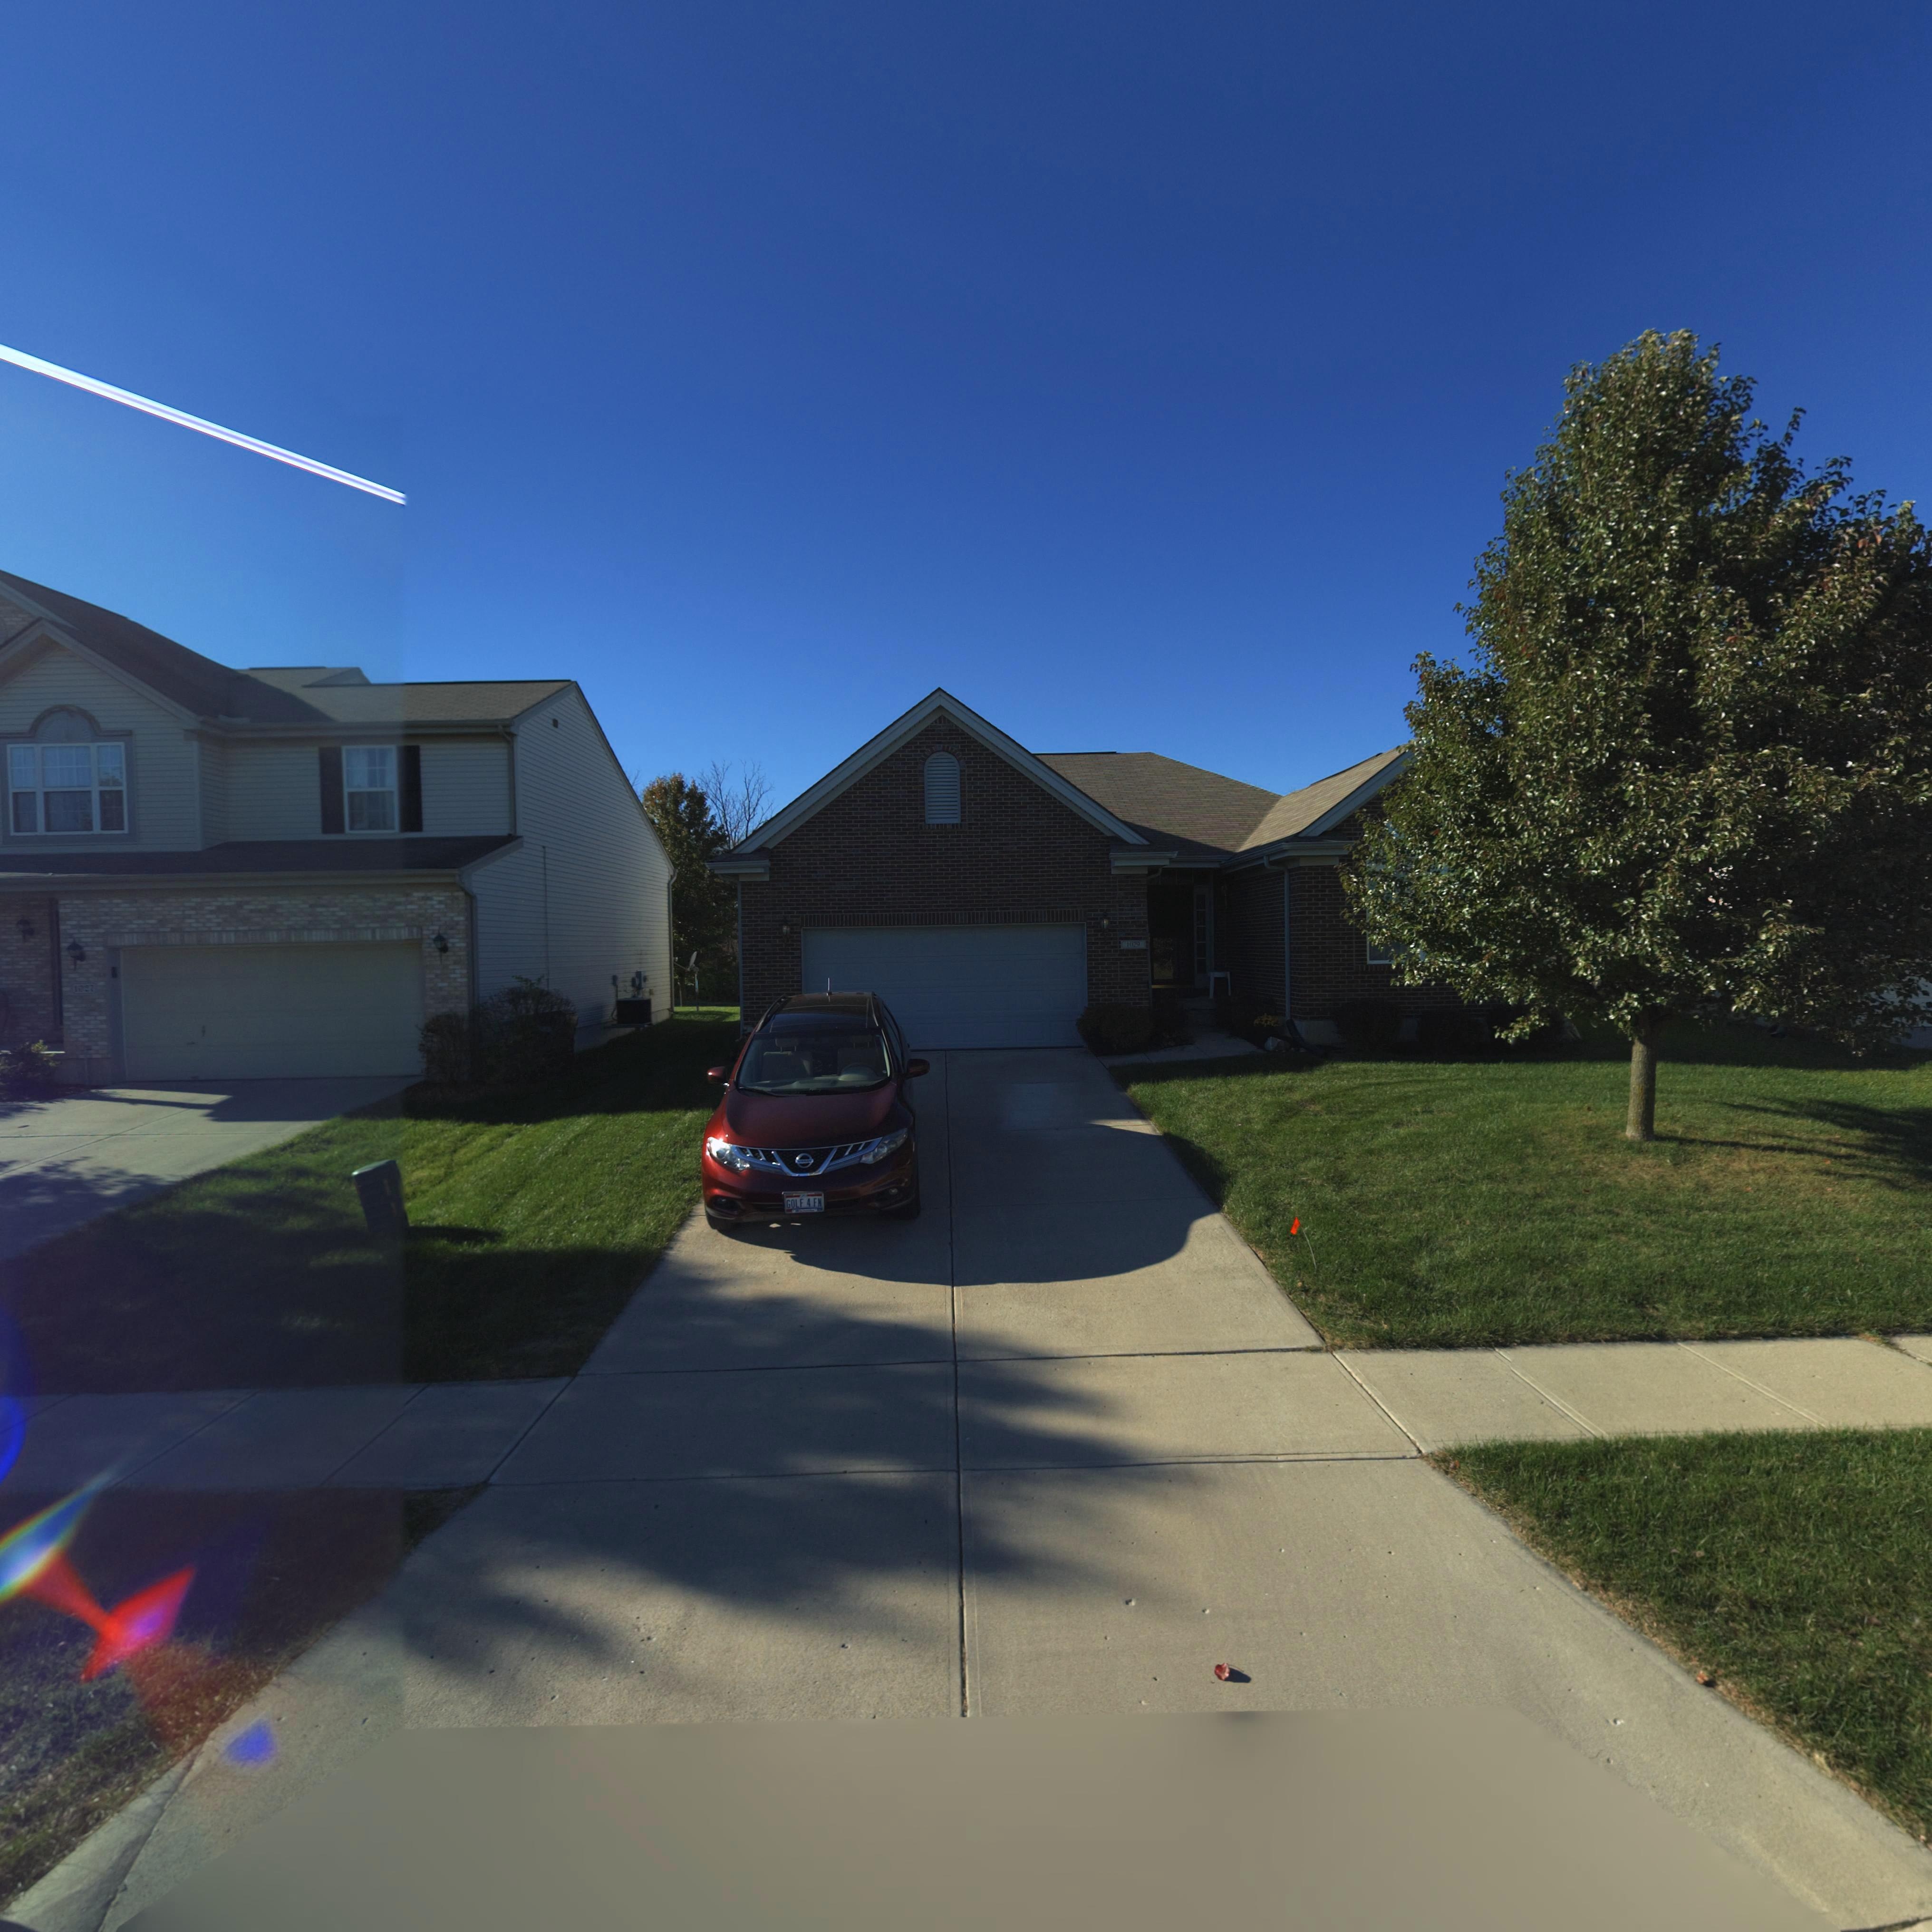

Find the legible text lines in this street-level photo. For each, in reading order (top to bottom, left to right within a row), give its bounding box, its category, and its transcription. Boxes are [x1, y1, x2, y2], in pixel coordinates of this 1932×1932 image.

[1125, 941, 1141, 949] StreetNumber: 1029
[73, 983, 95, 995] StreetNumber: 1027
[786, 1198, 822, 1209] None: GOLF 4 FN